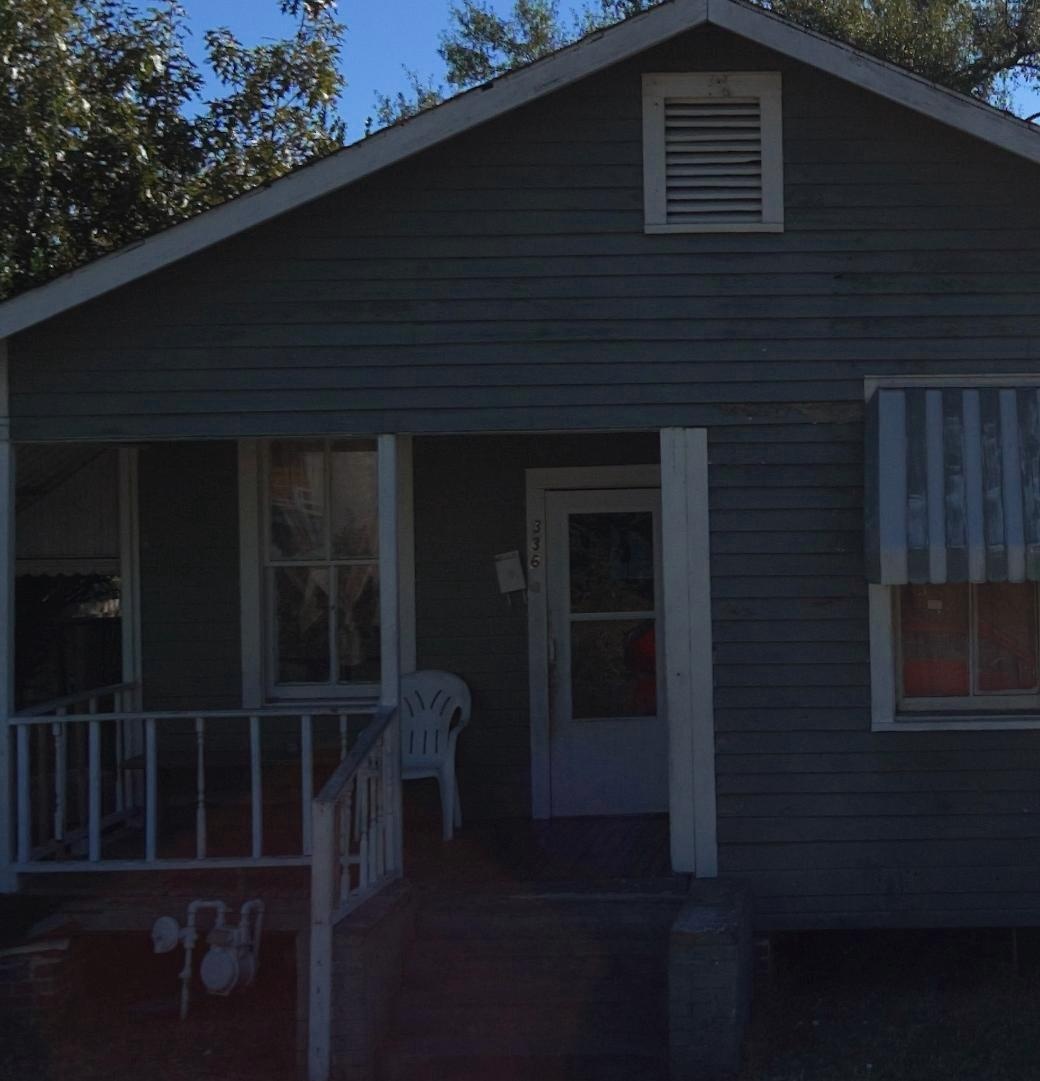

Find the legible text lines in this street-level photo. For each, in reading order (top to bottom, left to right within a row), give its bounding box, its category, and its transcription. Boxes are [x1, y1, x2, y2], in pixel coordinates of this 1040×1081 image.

[529, 517, 544, 571] StreetNumber: 336